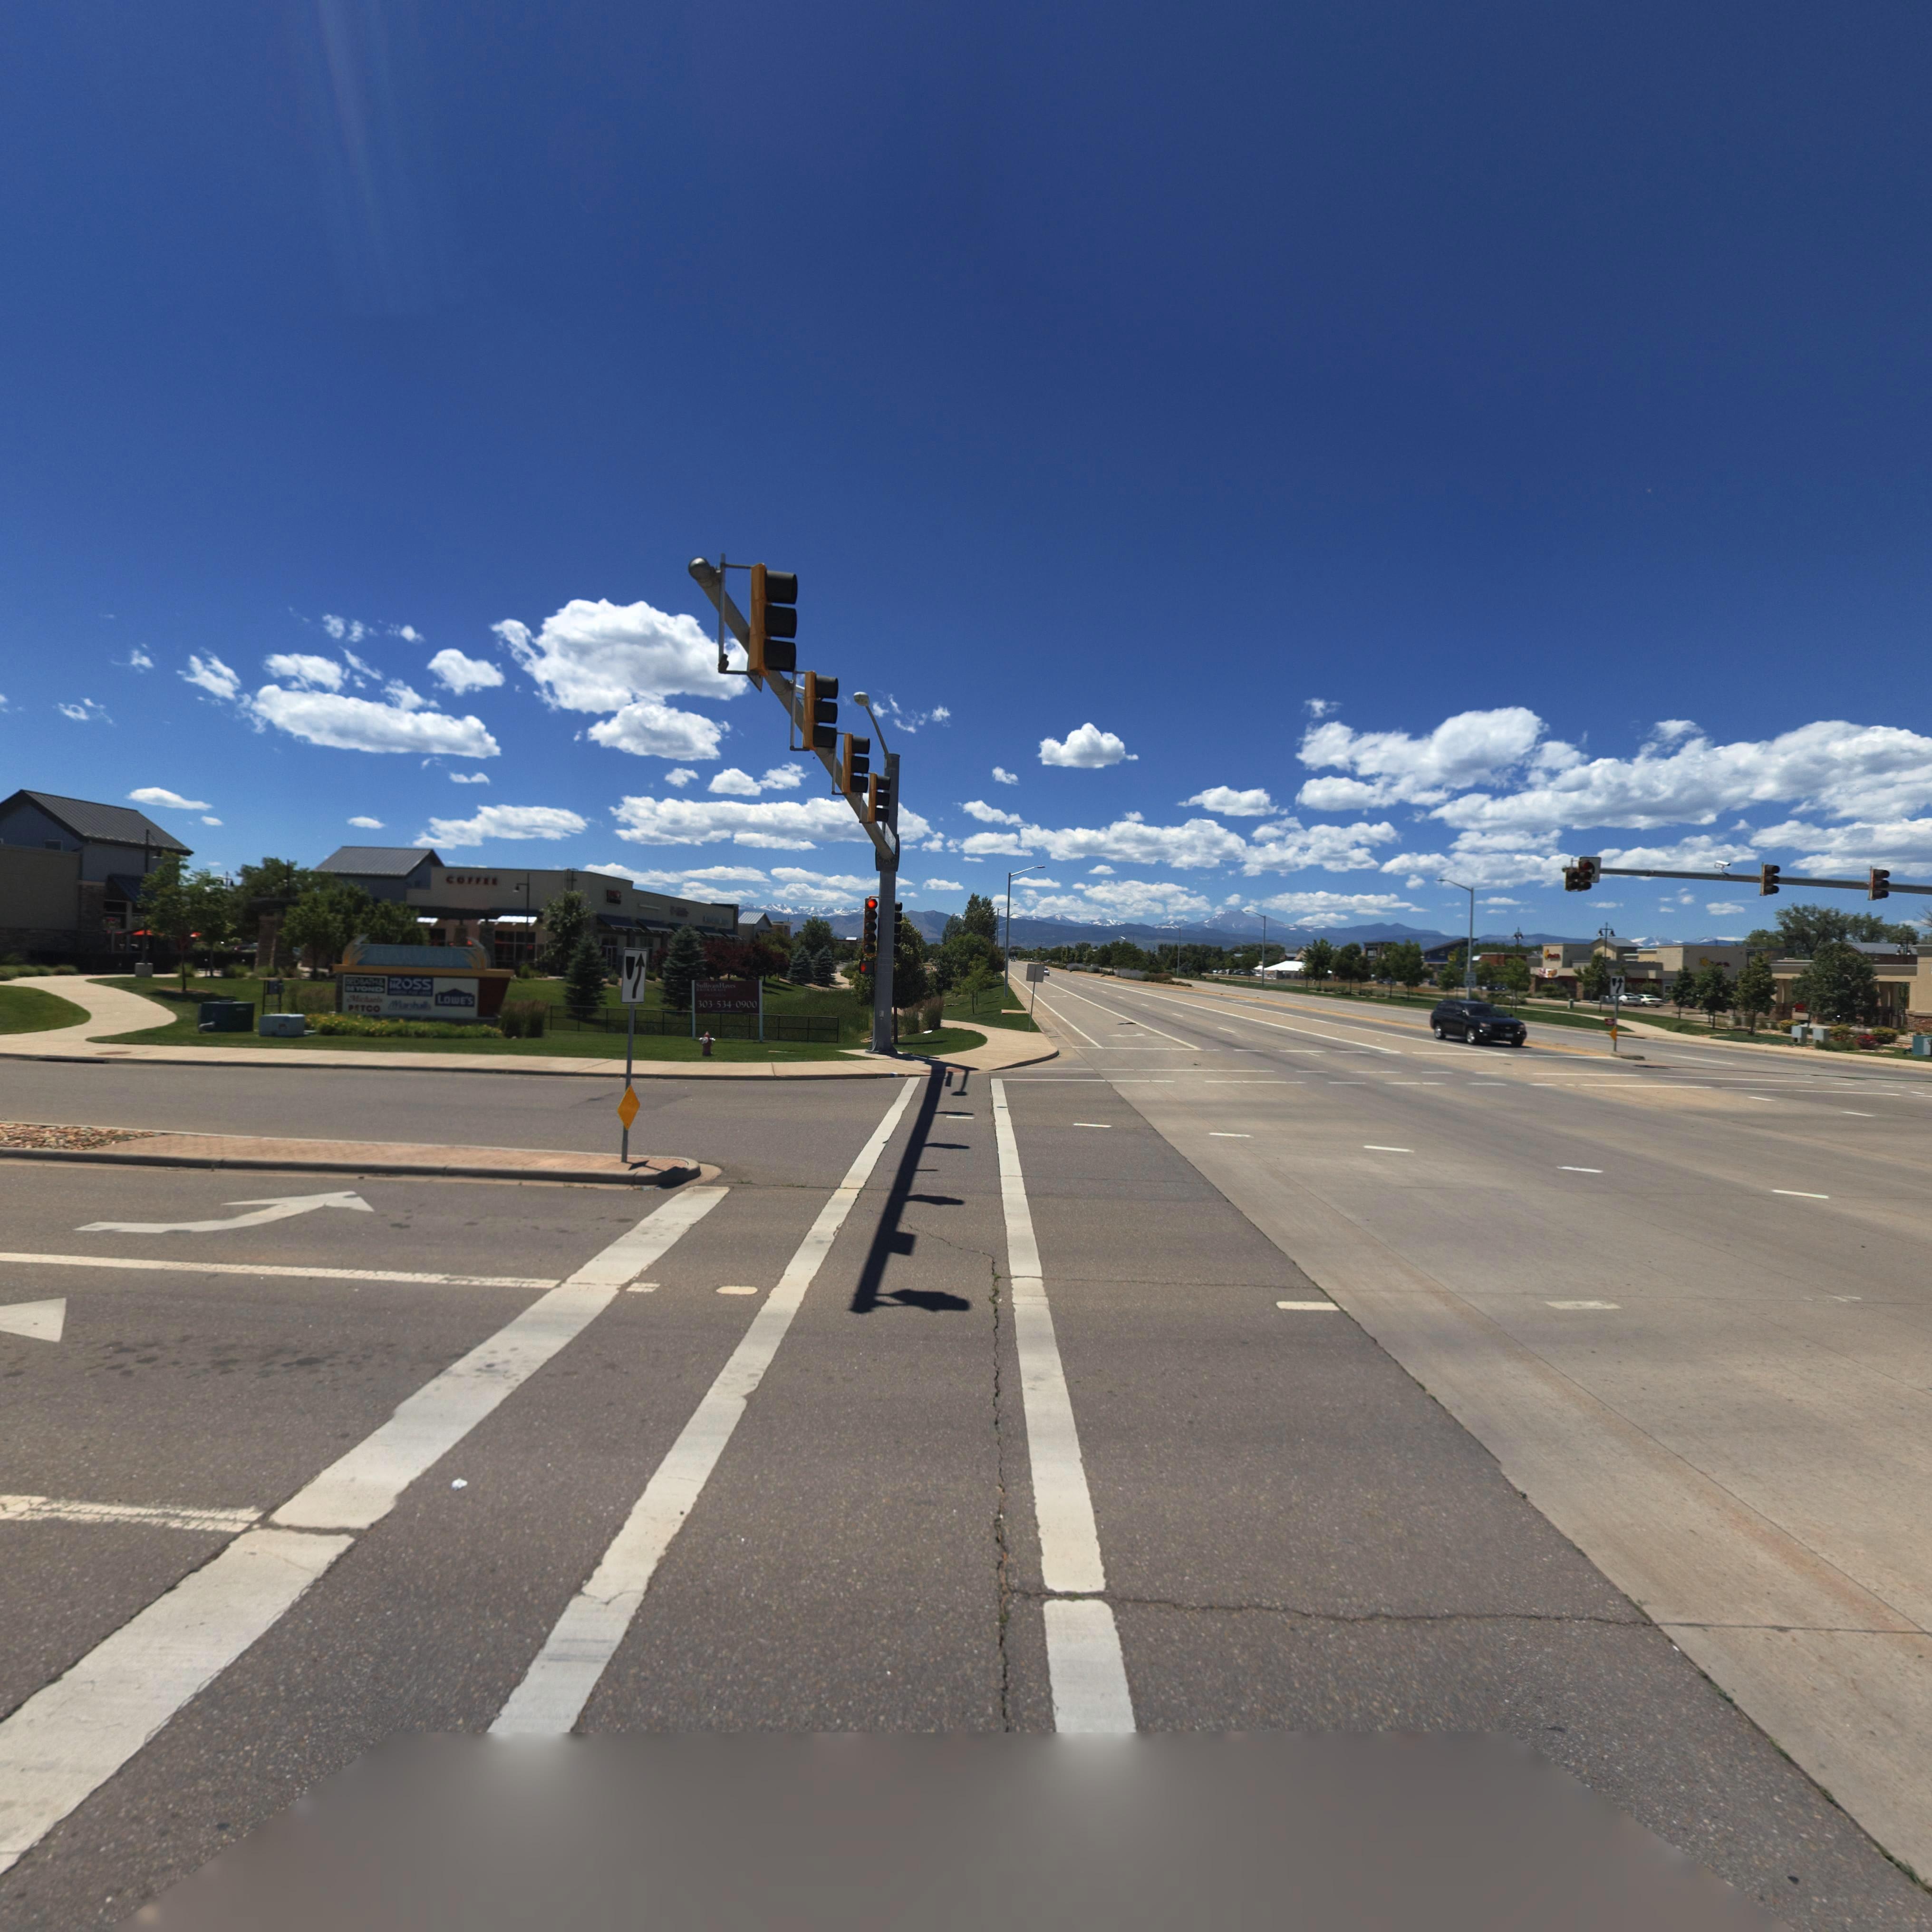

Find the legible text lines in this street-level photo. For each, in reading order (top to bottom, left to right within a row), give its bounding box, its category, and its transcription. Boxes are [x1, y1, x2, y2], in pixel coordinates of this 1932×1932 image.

[670, 905, 687, 917] BusinessName: T * Mobile
[346, 977, 384, 986] BusinessName: BEDBATH&
[346, 985, 384, 993] BusinessName: BEYOND
[389, 977, 432, 990] BusinessName: *OSS
[346, 994, 383, 1003] BusinessName: Michaels
[437, 994, 473, 1005] BusinessName: LOWE'S
[348, 1004, 380, 1013] BusinessName: PETCO
[387, 999, 431, 1011] BusinessName: *arshalls